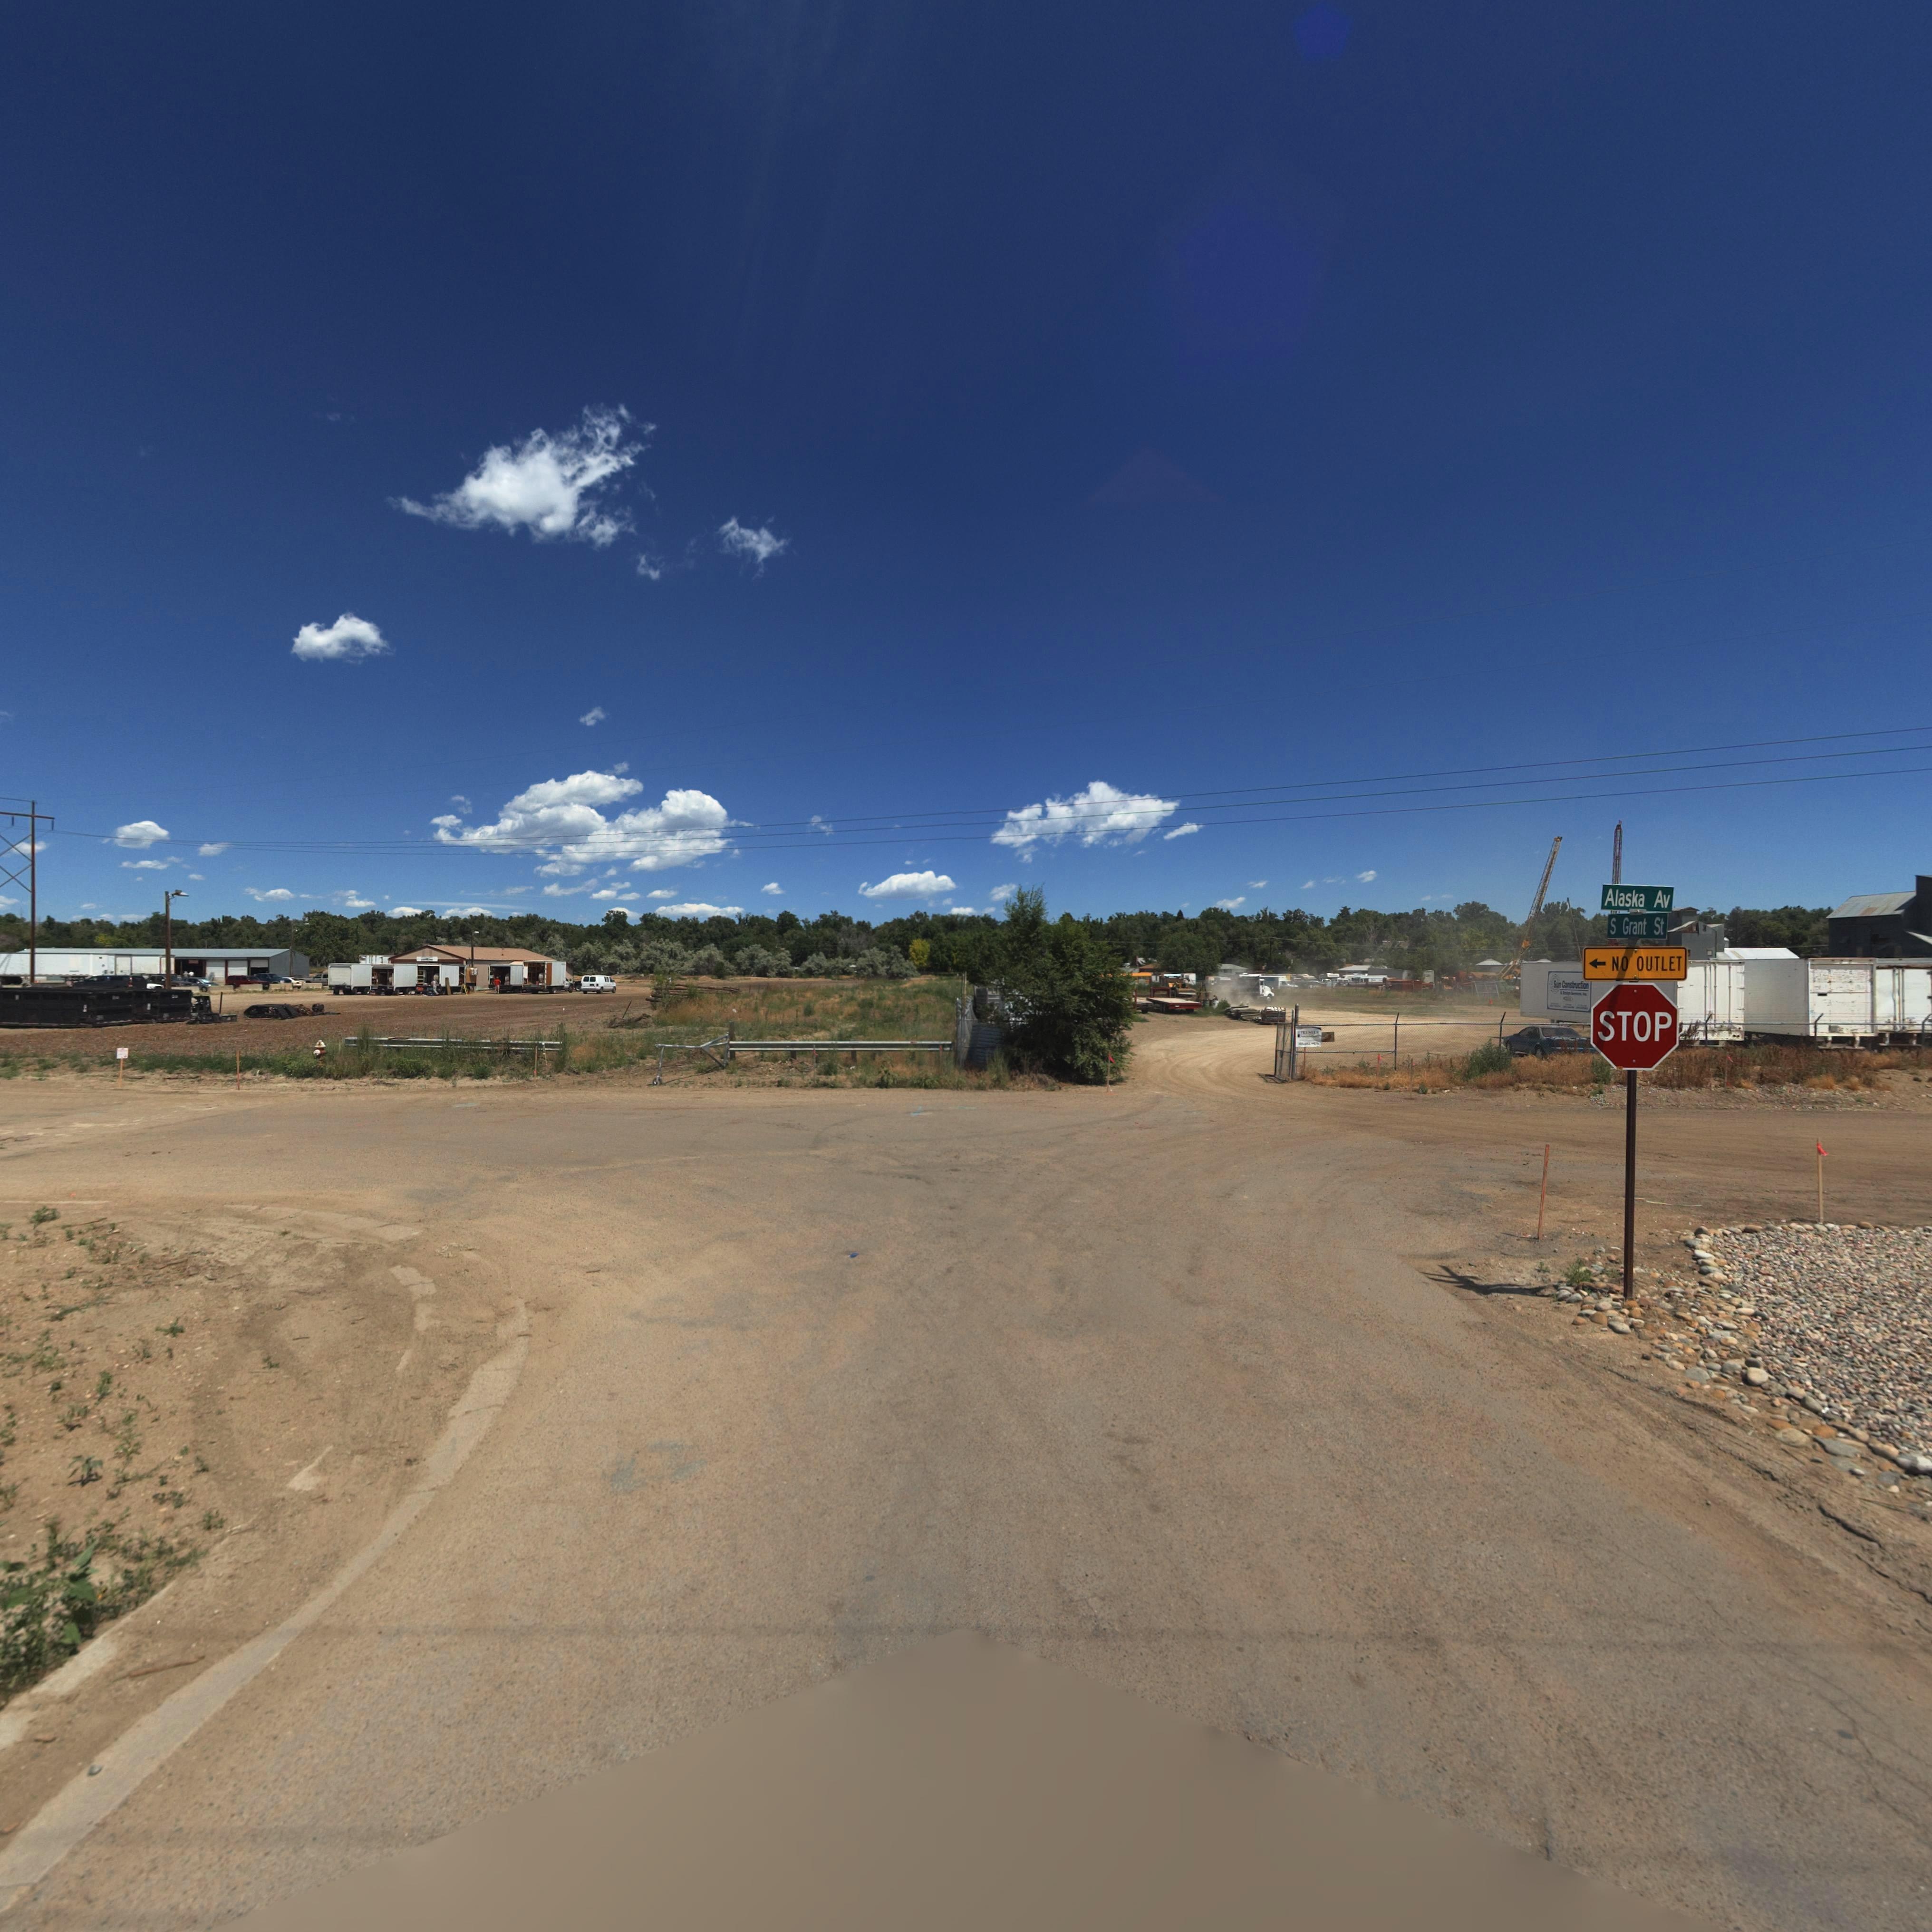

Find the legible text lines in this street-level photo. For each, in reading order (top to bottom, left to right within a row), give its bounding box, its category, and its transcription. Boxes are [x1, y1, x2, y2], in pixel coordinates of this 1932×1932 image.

[1603, 888, 1671, 908] StreetName: Alaska Av
[1609, 916, 1664, 935] StreetName: S Grant St